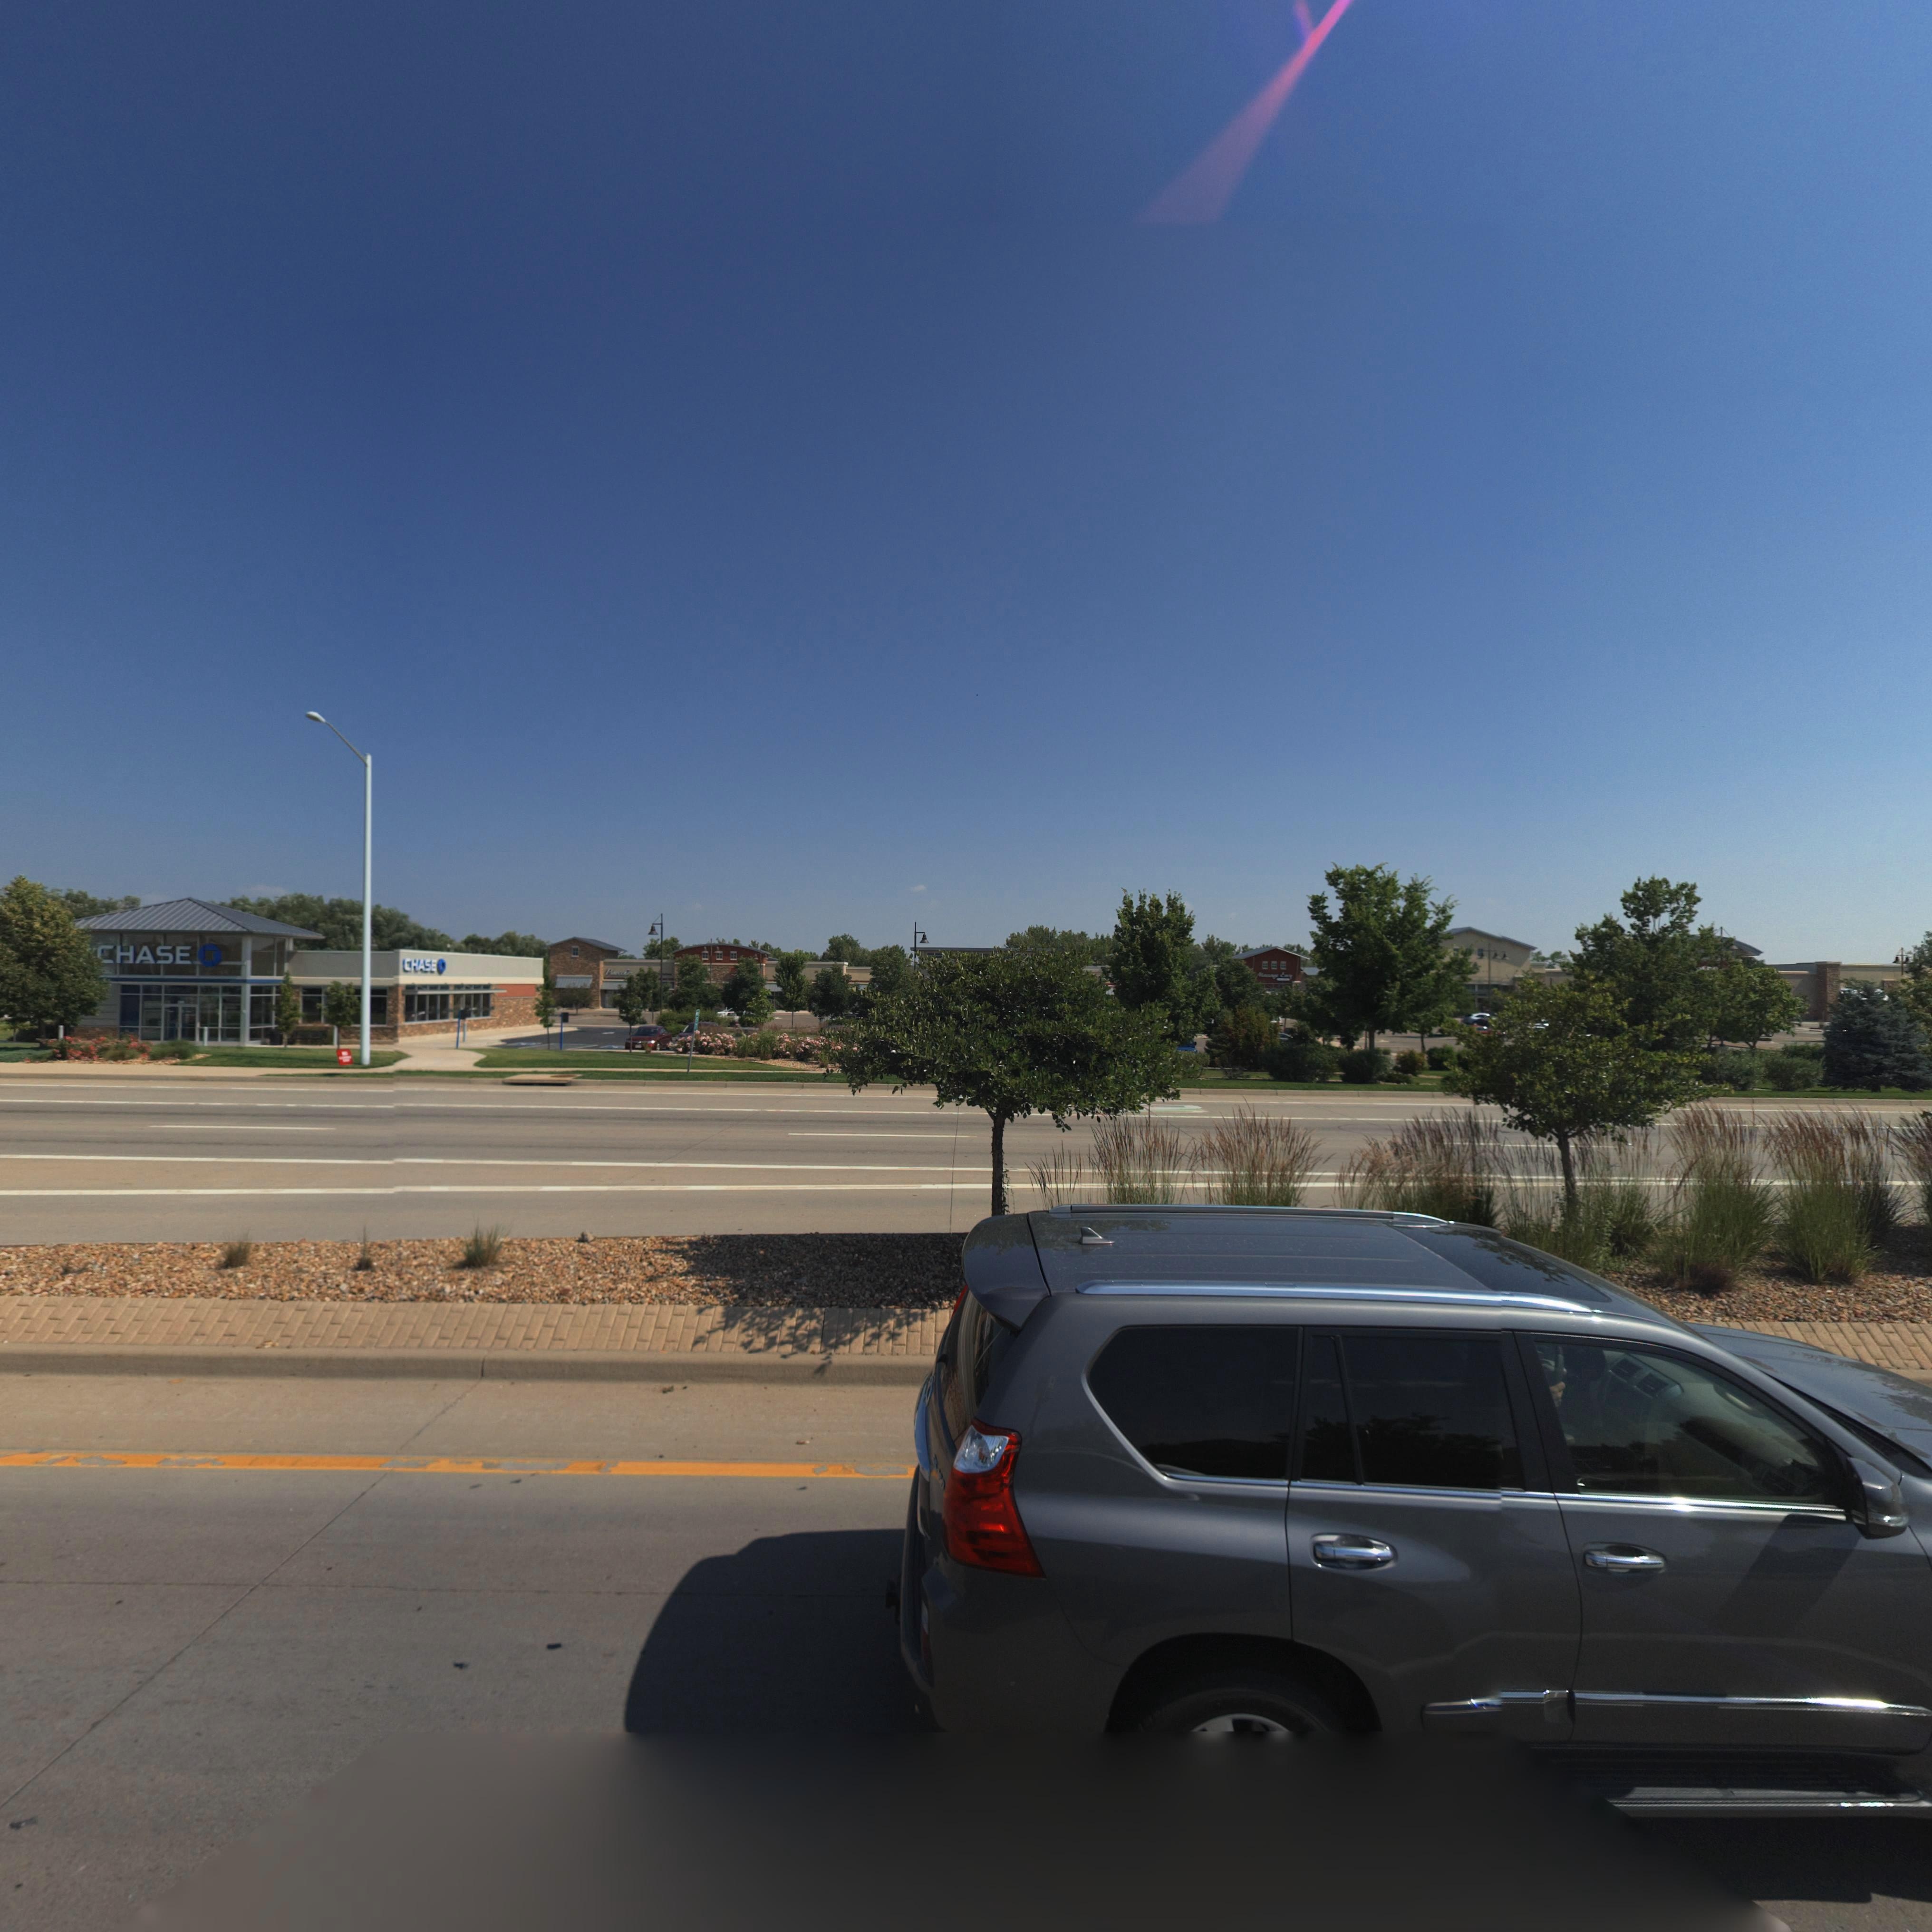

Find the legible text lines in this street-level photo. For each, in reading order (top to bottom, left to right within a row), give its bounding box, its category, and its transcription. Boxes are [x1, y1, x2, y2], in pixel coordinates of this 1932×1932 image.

[96, 944, 192, 965] BusinessName: CHASE
[404, 957, 437, 972] BusinessName: CHASE
[1469, 961, 1480, 971] BusinessName: A
[605, 967, 634, 976] BusinessName: P******
[1255, 971, 1294, 980] BusinessName: M****ge E**y